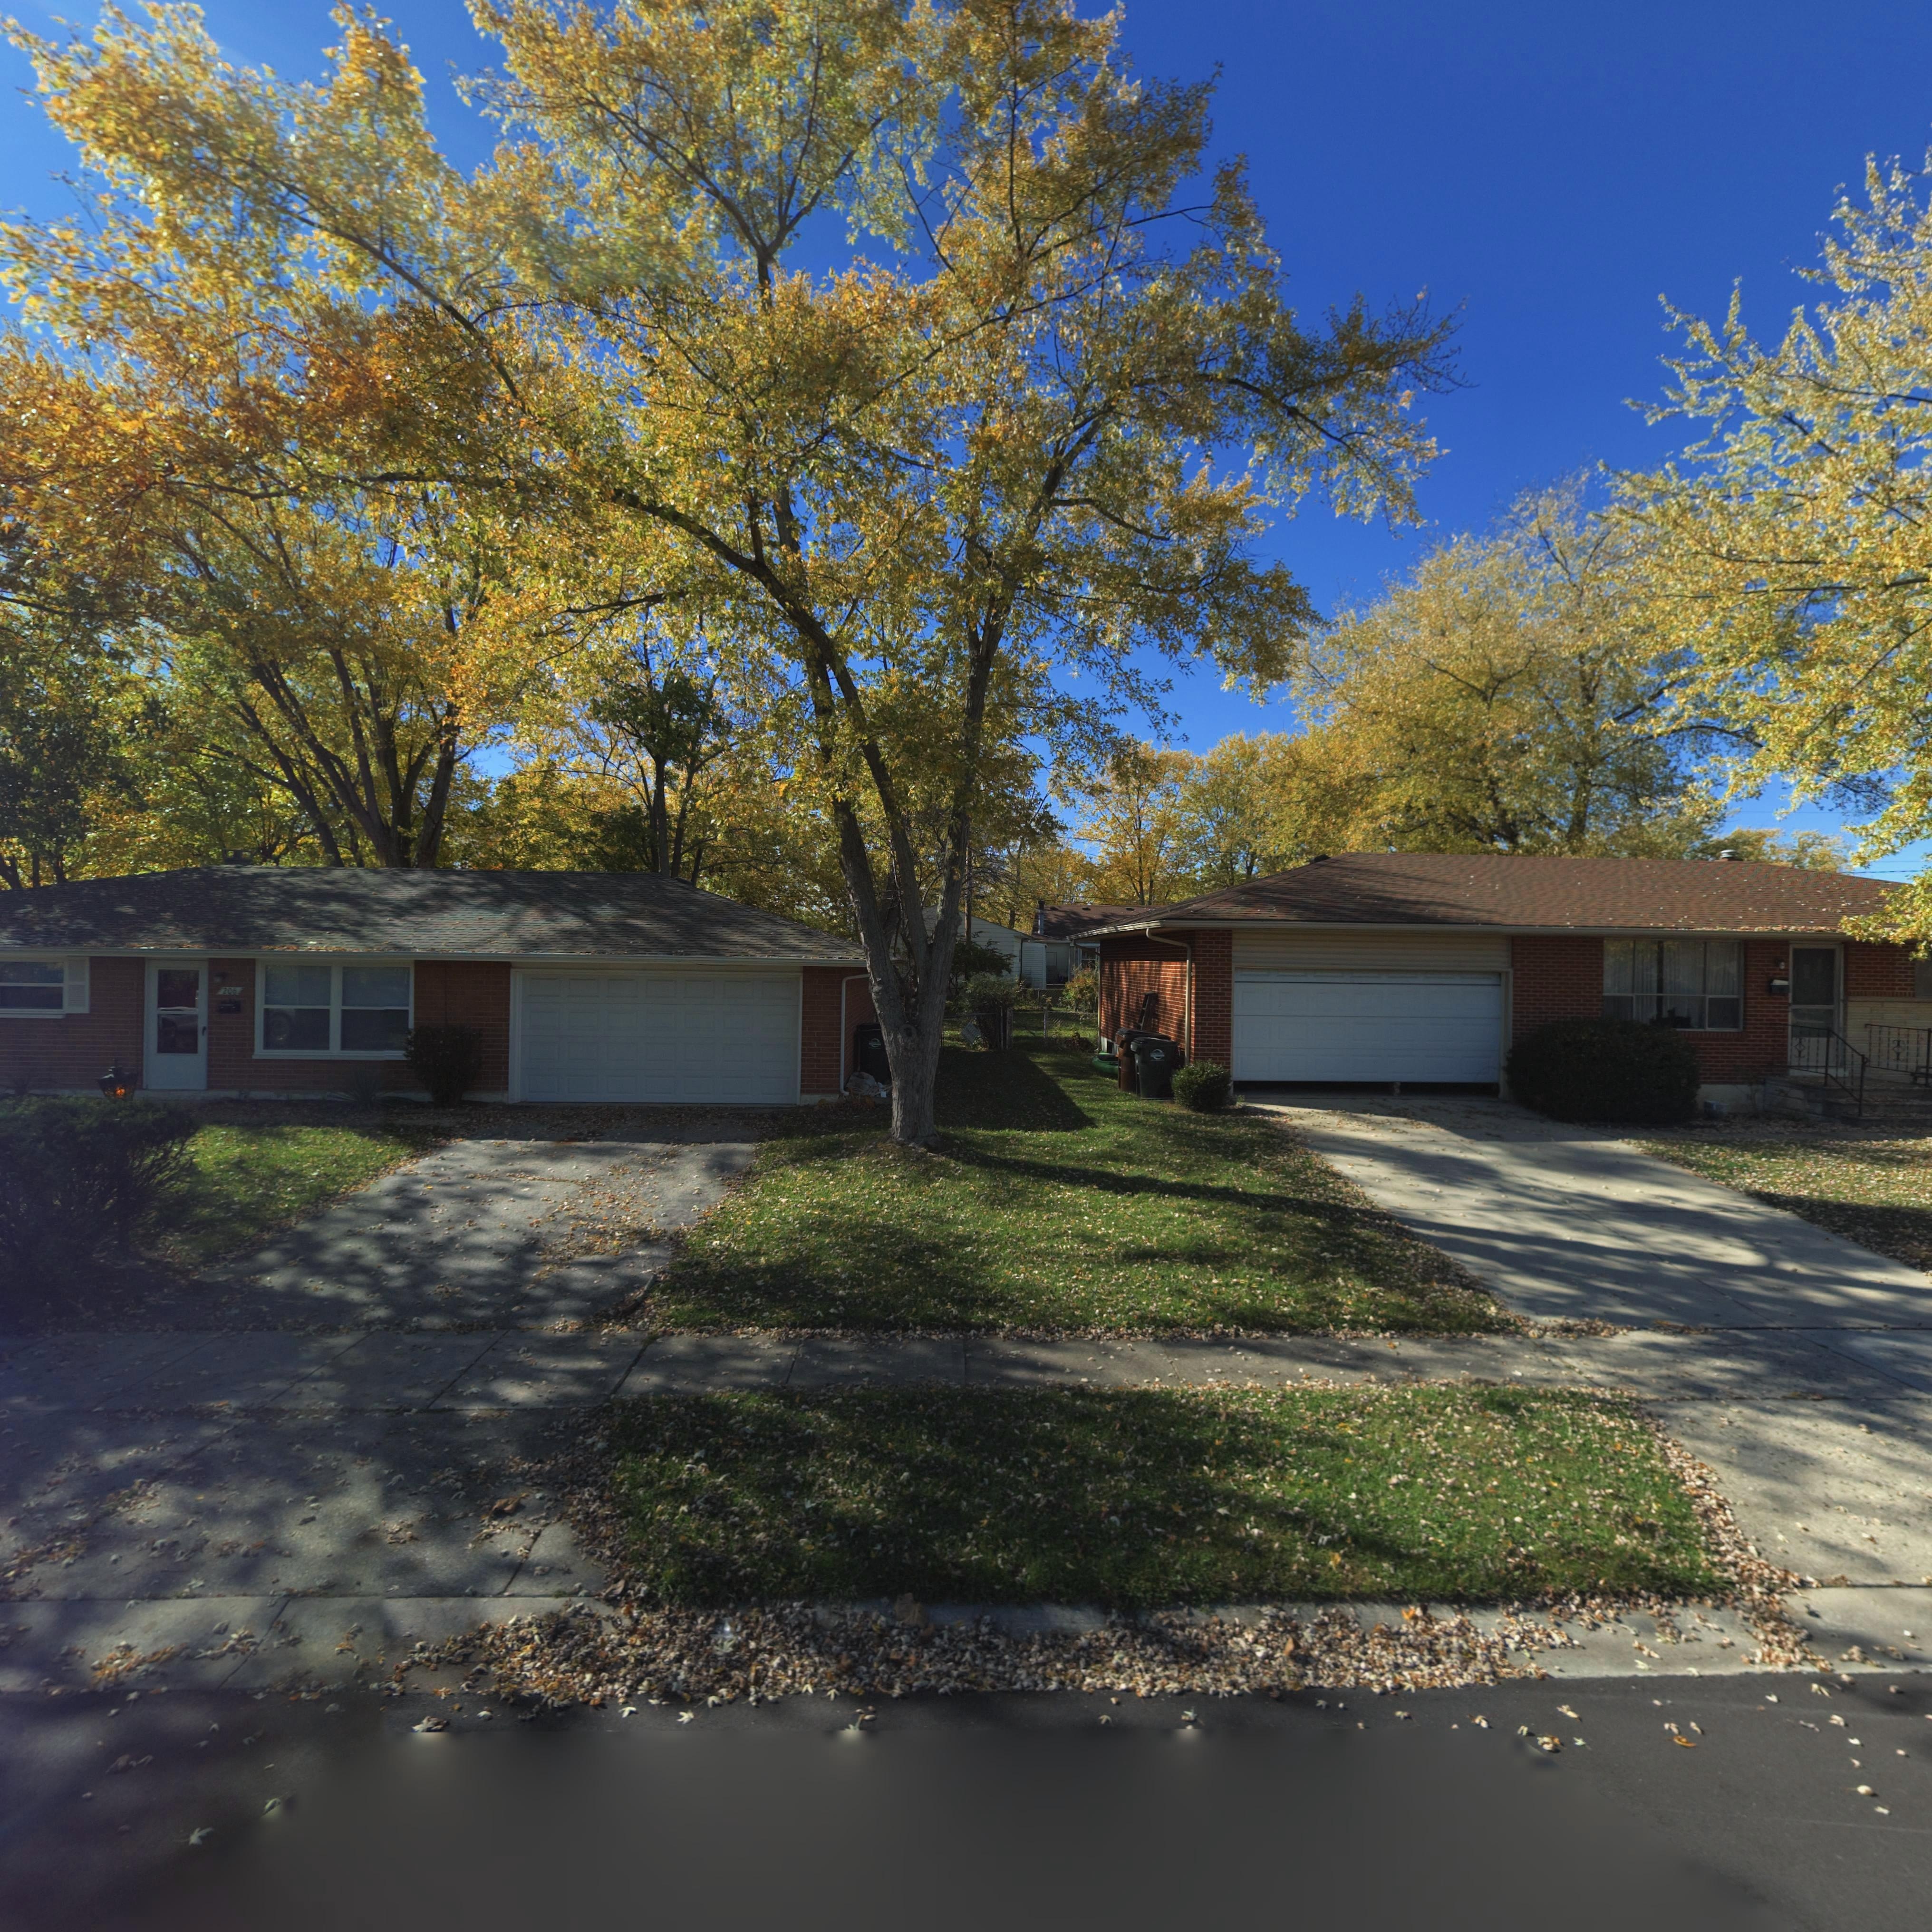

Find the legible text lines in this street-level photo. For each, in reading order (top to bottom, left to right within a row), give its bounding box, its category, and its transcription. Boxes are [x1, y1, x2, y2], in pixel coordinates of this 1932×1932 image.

[222, 987, 237, 994] StreetNumber: 206